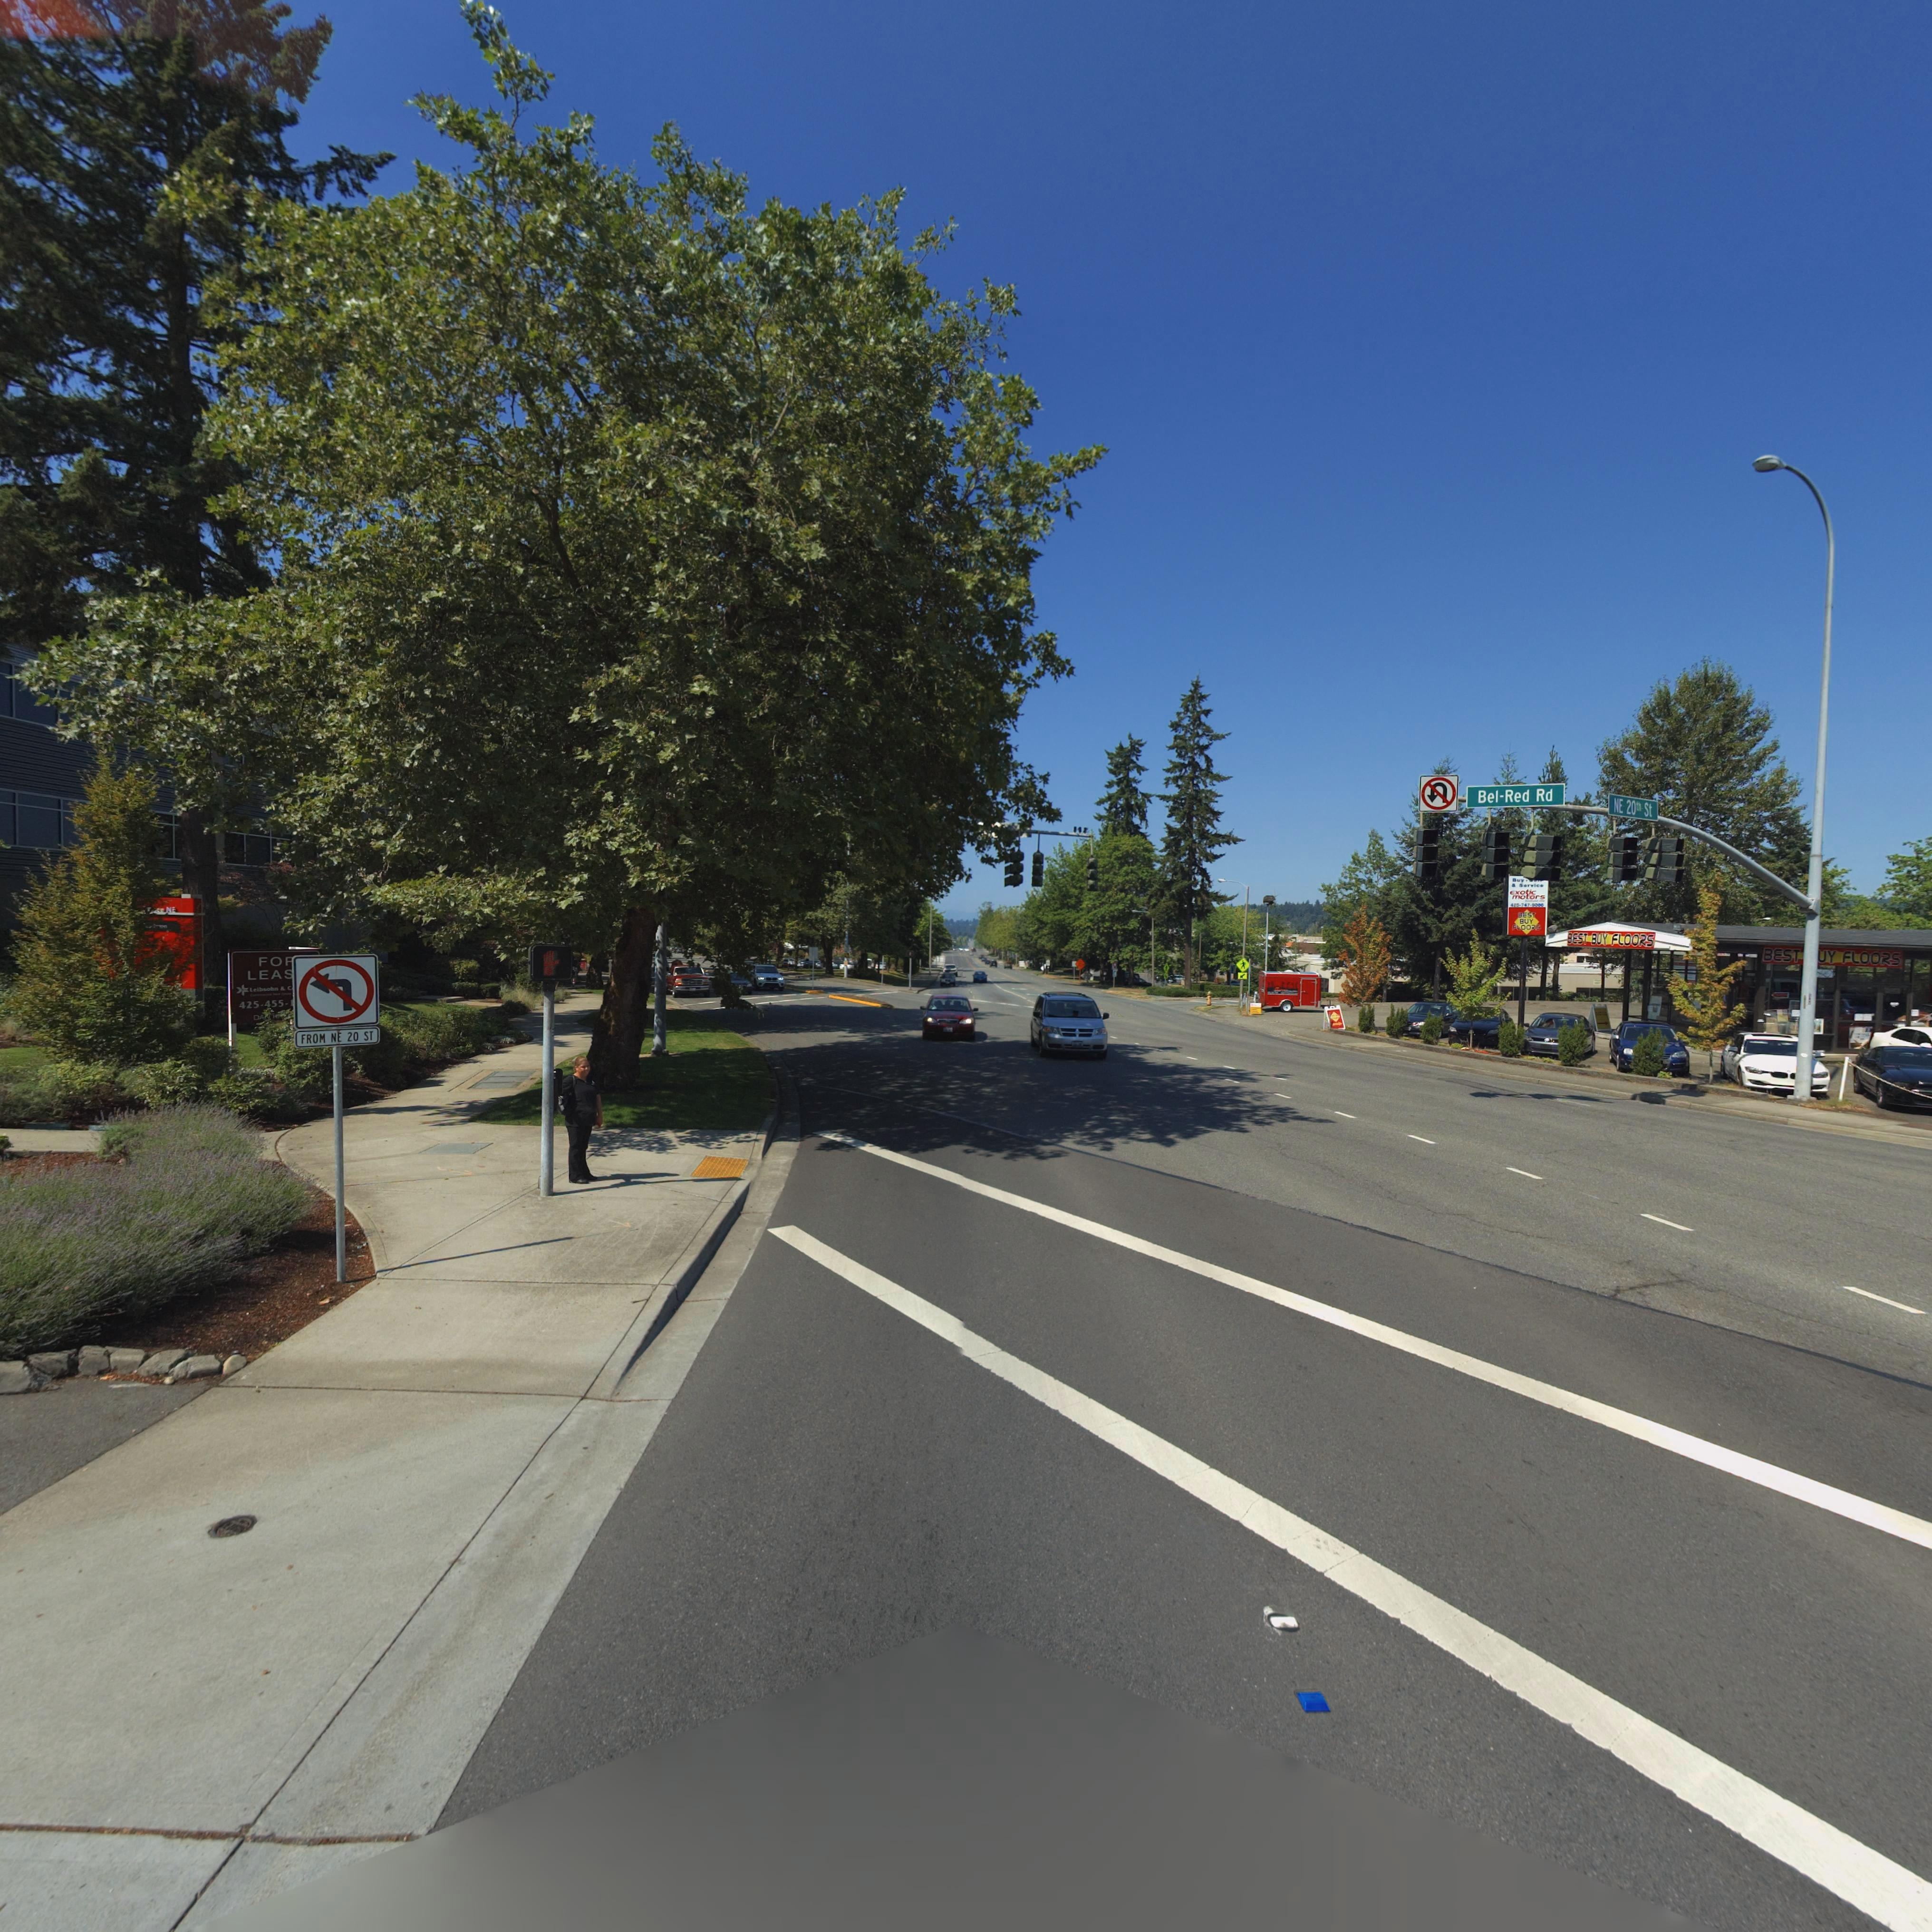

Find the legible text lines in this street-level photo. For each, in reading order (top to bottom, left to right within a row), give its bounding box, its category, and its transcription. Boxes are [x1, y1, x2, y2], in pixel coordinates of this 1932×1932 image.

[1478, 788, 1553, 803] StreetName: Bel-Red Rd
[1613, 797, 1652, 818] StreetName: NE 20th St
[1509, 889, 1537, 895] BusinessName: exotic
[1511, 894, 1545, 899] TrafficSign: motors
[1512, 924, 1541, 930] BusinessName: FLOORS
[1519, 918, 1534, 924] BusinessName: BUY
[1518, 912, 1536, 918] BusinessName: BEST
[1566, 931, 1654, 947] BusinessName: BEST BUY FLOORS
[1762, 946, 1901, 966] BusinessName: BEST *UY FLOORS
[330, 1030, 373, 1043] StreetName: NE 20 ST